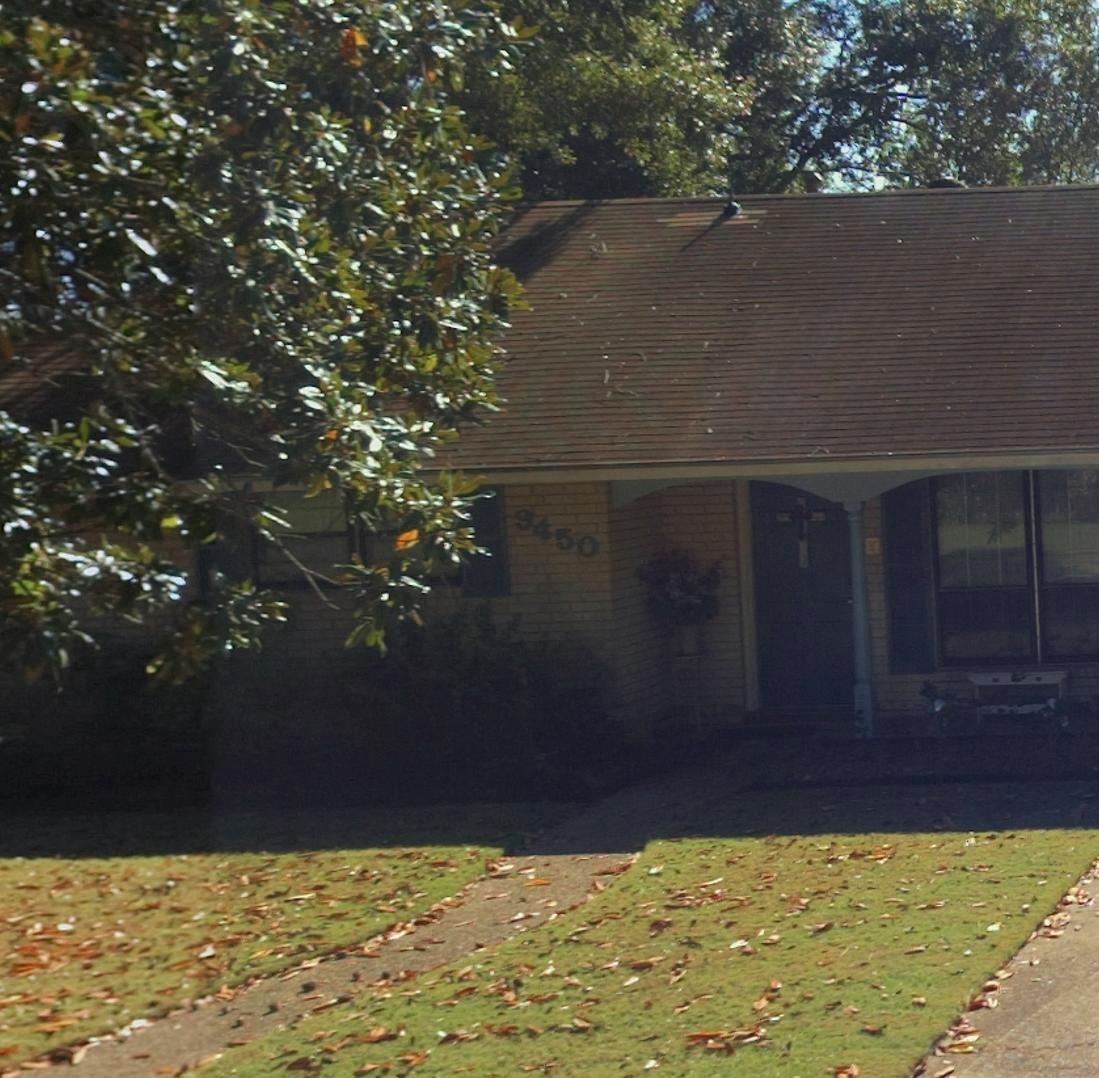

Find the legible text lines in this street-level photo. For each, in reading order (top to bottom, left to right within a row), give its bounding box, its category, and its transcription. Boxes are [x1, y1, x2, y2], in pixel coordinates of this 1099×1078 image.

[514, 508, 598, 560] StreetNumber: 9450